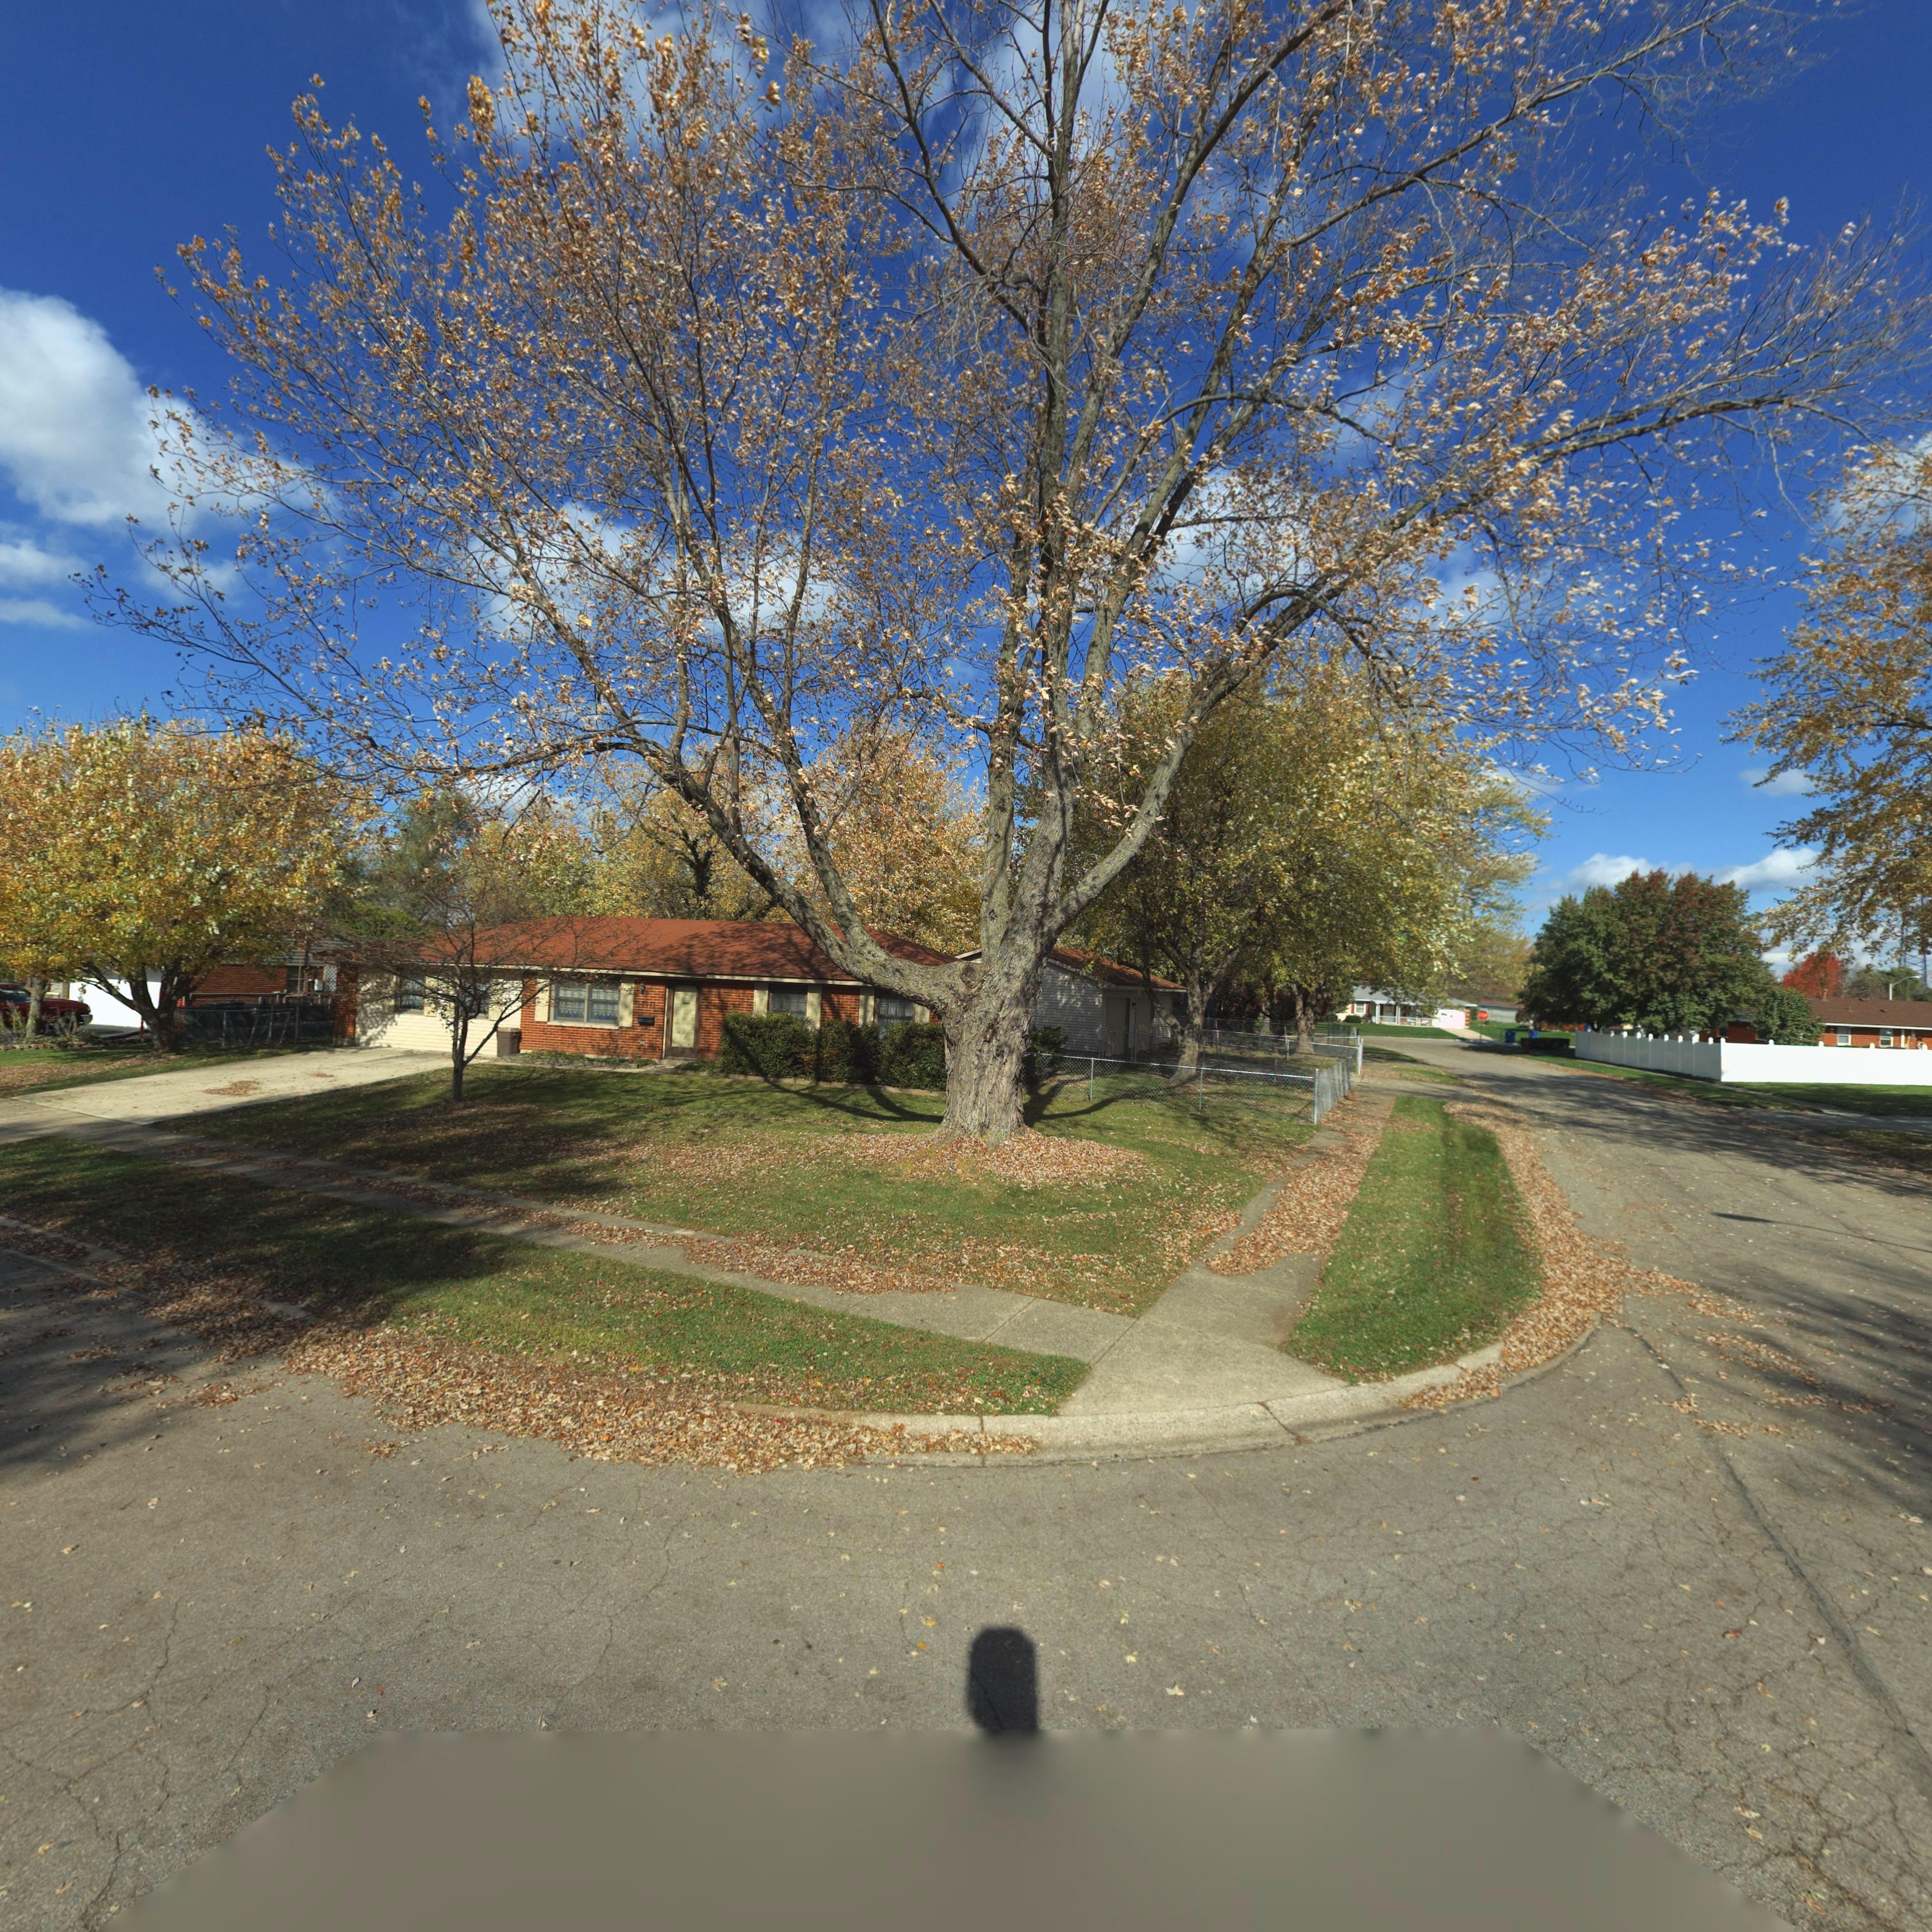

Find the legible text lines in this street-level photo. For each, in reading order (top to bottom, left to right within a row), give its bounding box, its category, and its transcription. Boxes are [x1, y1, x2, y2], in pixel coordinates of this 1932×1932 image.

[641, 1000, 656, 1009] StreetNumber: 7771